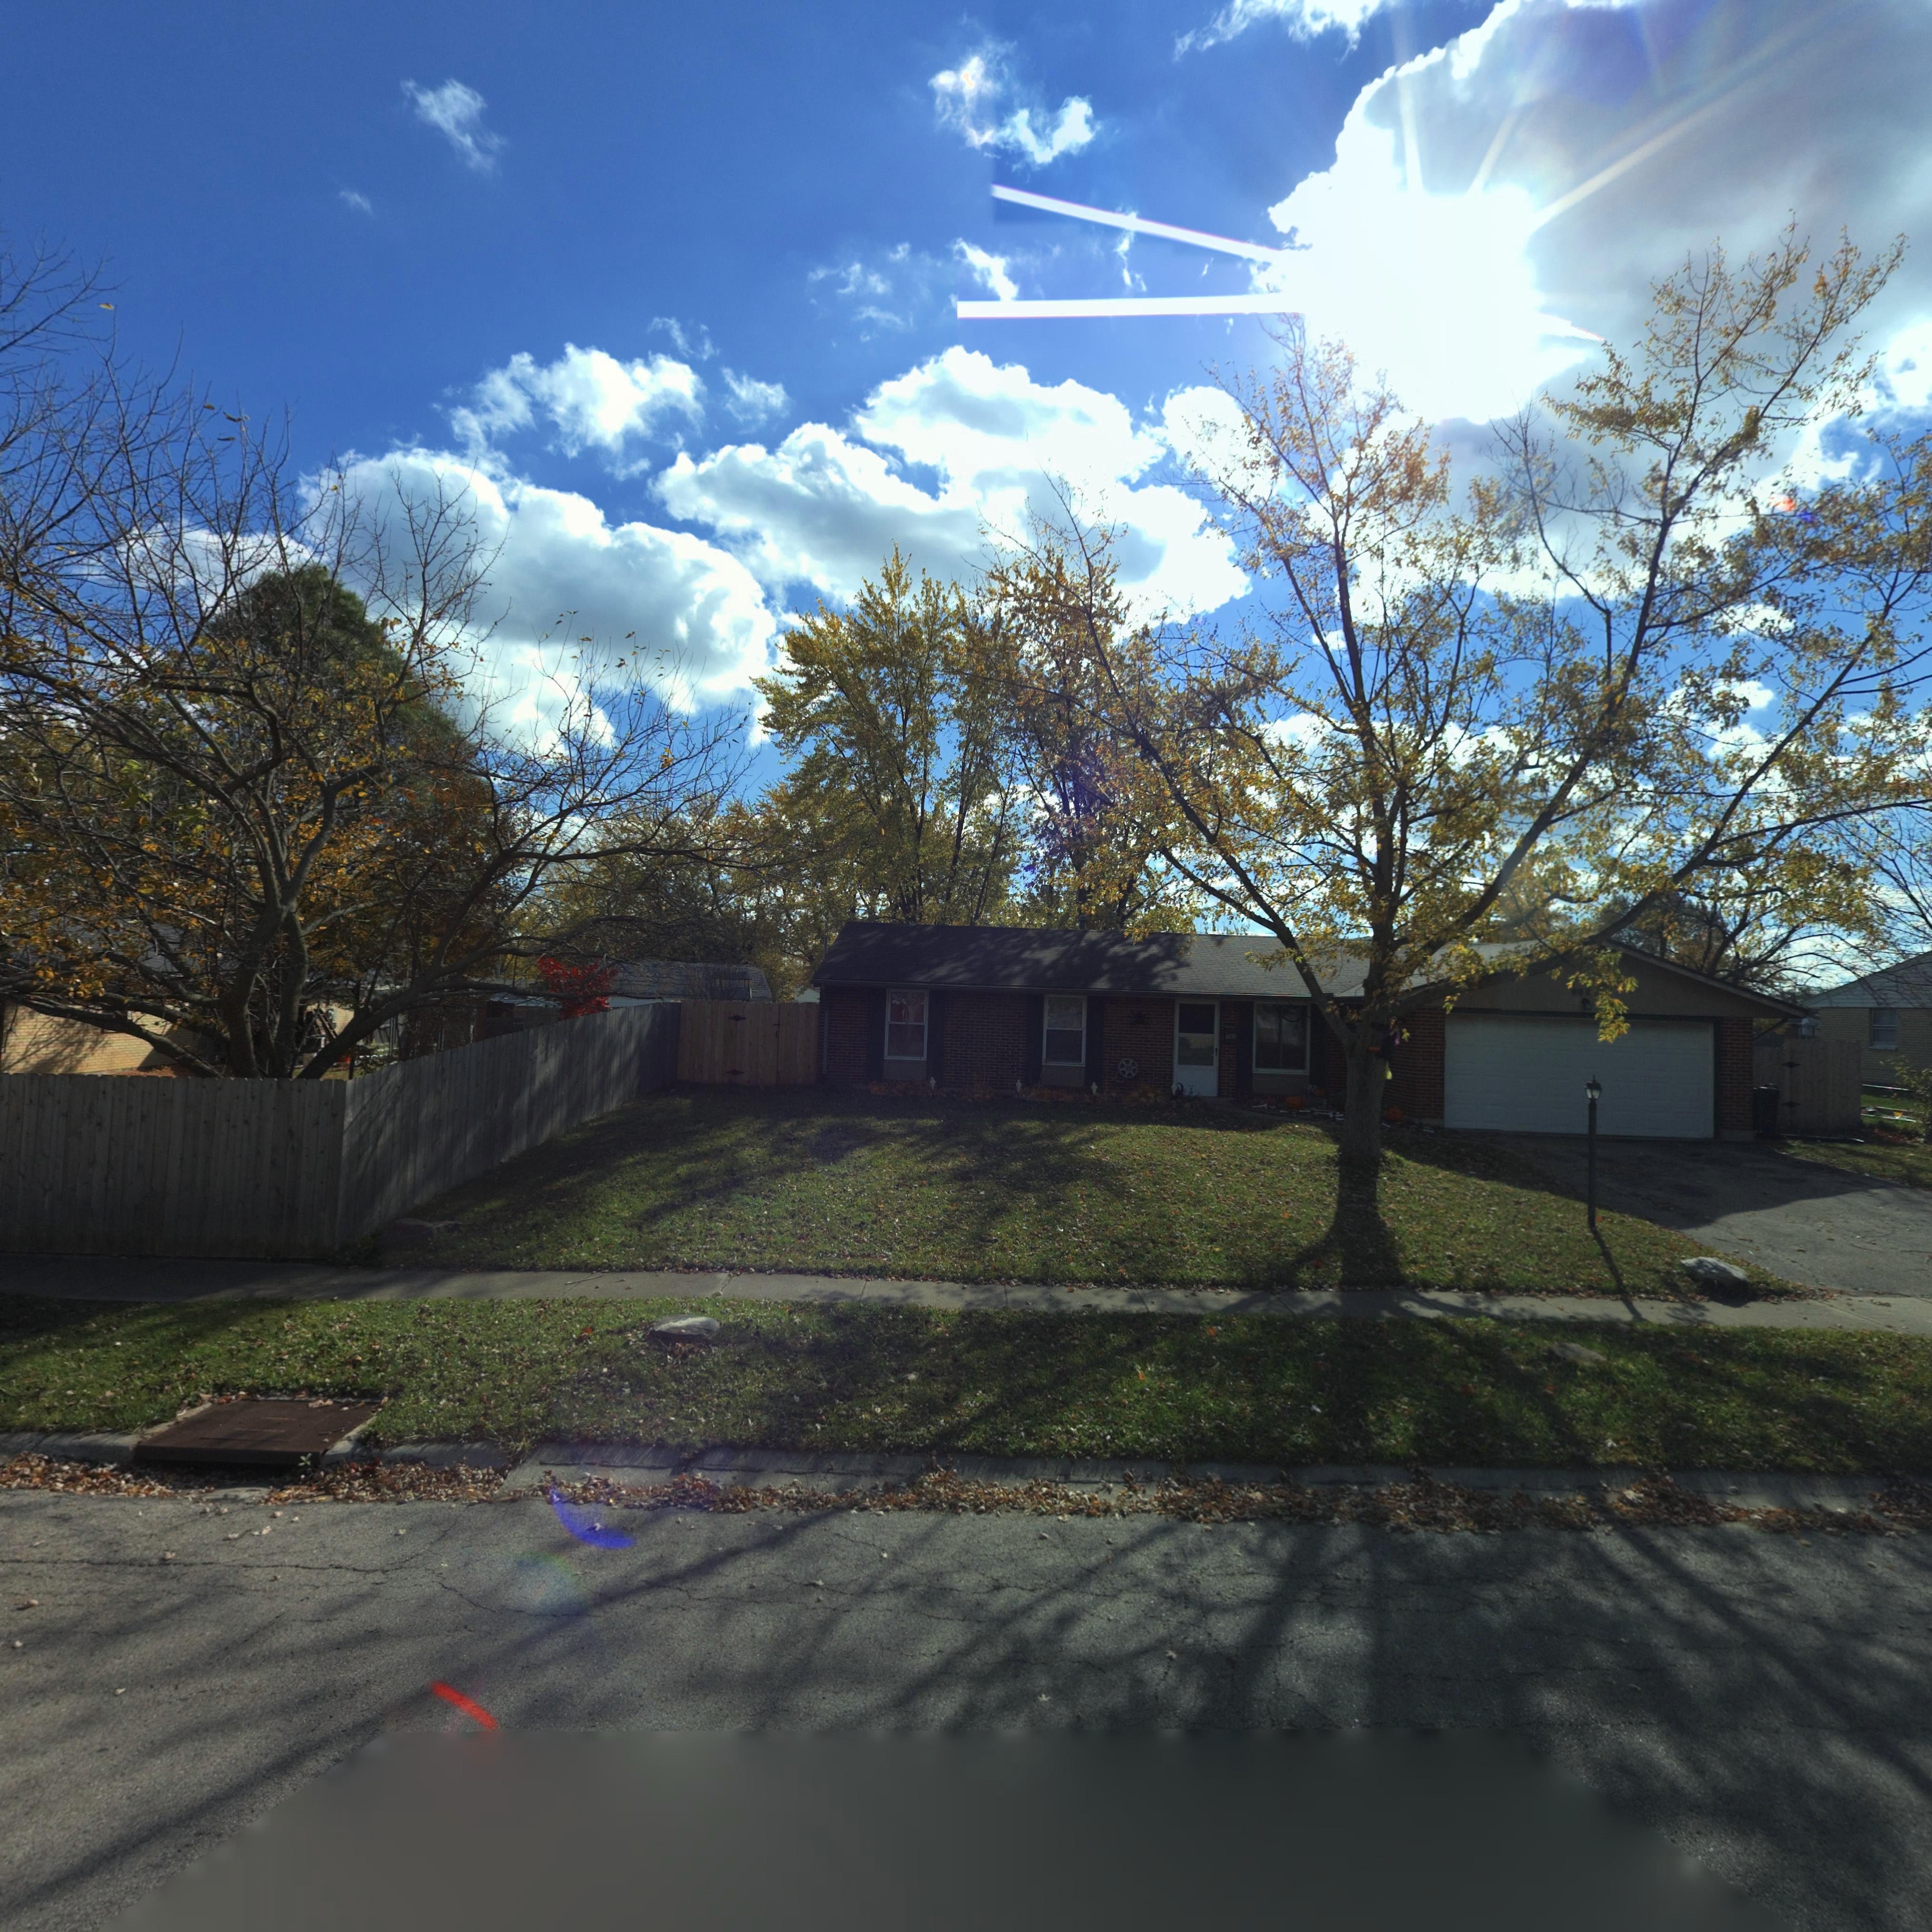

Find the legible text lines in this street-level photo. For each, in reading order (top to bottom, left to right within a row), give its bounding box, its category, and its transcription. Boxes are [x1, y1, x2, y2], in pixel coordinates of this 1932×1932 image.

[1584, 987, 1591, 996] StreetNumber: 5
[1225, 1033, 1237, 1039] StreetNumber: 6650